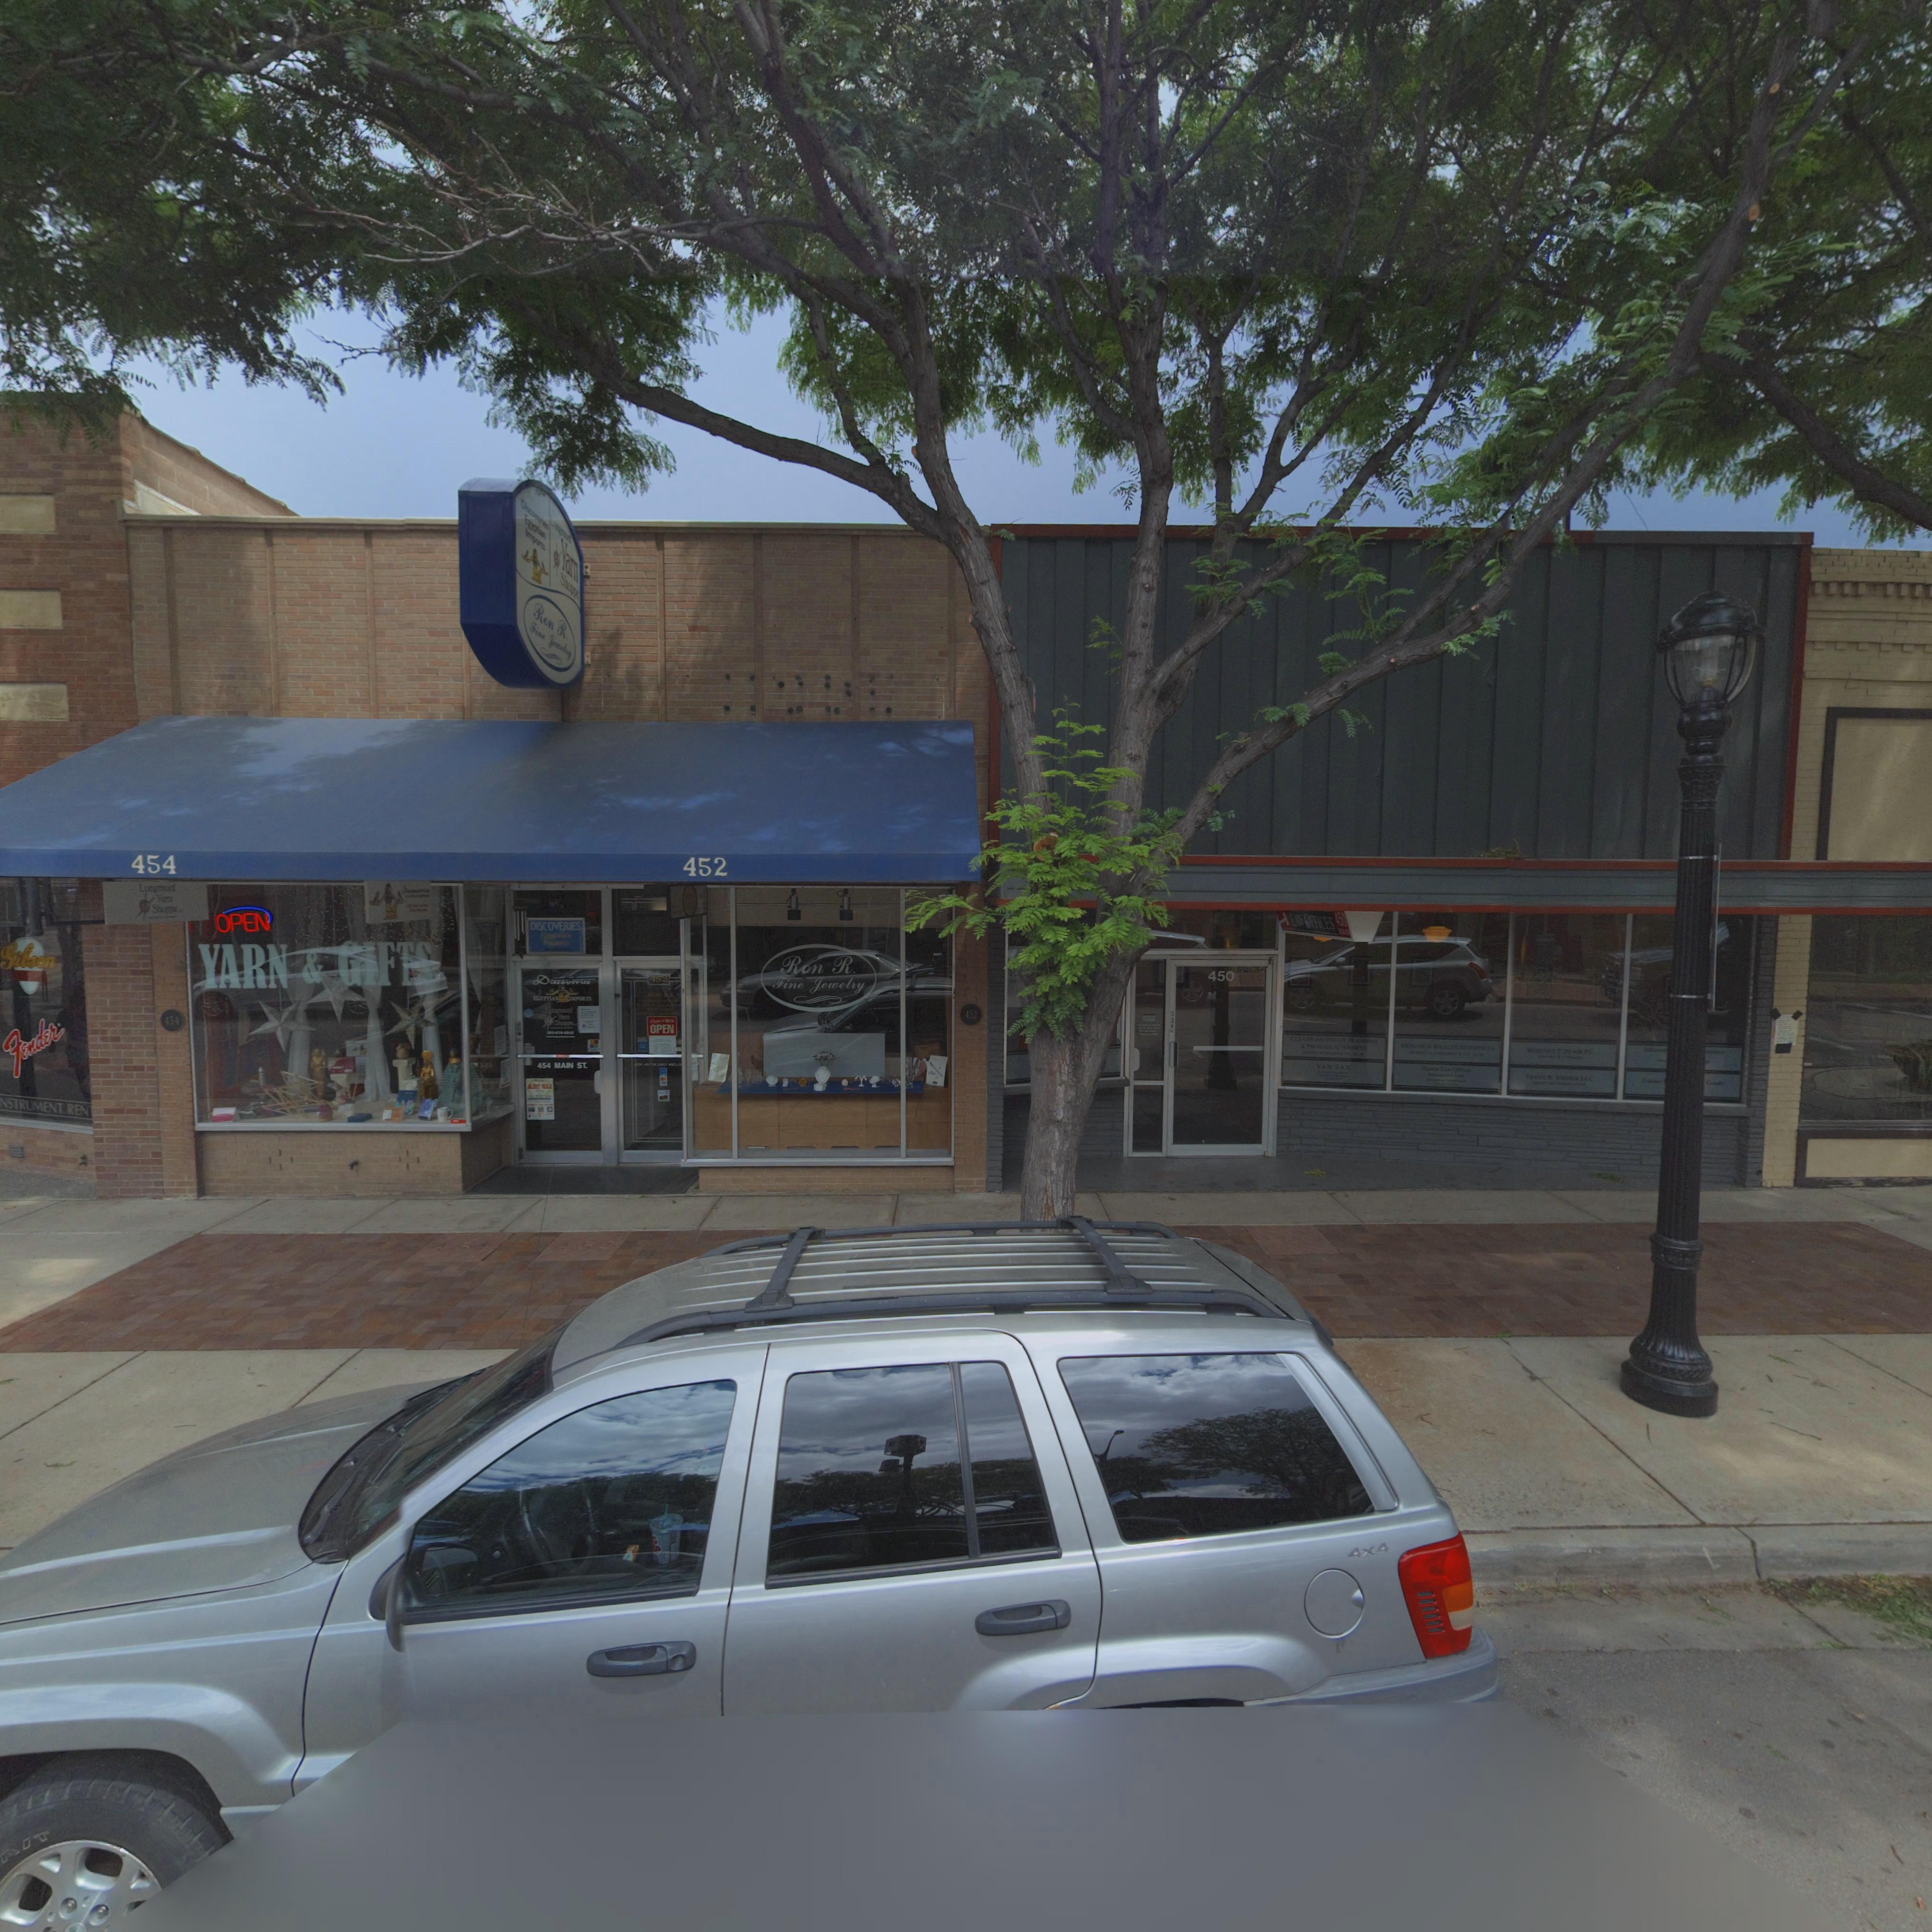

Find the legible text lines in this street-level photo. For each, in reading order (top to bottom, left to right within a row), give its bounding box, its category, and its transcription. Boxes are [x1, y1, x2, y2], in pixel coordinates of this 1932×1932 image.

[520, 497, 549, 531] BusinessName: D**********
[524, 513, 546, 541] BusinessName: E*******
[524, 526, 546, 551] BusinessName: Imports
[561, 537, 579, 583] BusinessName: Yarn
[559, 571, 579, 600] BusinessName: Shoppe
[533, 602, 568, 641] BusinessName: Ron R.
[529, 620, 572, 661] BusinessName: Fine Jewelry
[130, 854, 177, 875] StreetNumber: 454
[682, 856, 728, 877] StreetNumber: 452
[139, 882, 176, 894] BusinessName: Lon**o**
[155, 894, 173, 903] BusinessName: Y***
[151, 904, 178, 915] BusinessName: Shoppe
[1334, 912, 1348, 927] StreetNumber: 450
[530, 921, 581, 931] BusinessName: DISCOVERIES
[540, 931, 572, 939] BusinessName: ***ptian
[542, 939, 570, 948] BusinessName: Im**rts
[780, 954, 856, 975] BusinessName: Ron R.
[532, 974, 591, 985] BusinessName: Discoveries
[648, 975, 668, 983] StreetNumber: 452
[1207, 970, 1235, 982] StreetNumber: 450
[772, 976, 867, 995] BusinessName: Fine Jewelry
[533, 995, 591, 1001] BusinessName: EGYPTIAN IMPORTS
[165, 1015, 179, 1025] StreetNumber: 45*
[545, 1006, 573, 1014] BusinessName: Lon**ont
[557, 1013, 570, 1020] BusinessName: Y***
[554, 1019, 574, 1026] BusinessName: Shopp*
[965, 1010, 977, 1019] StreetNumber: 452
[1289, 1035, 1378, 1044] BusinessName: CLEARWIND ESTATE PLANNING
[1300, 1043, 1367, 1051] BusinessName: & PRO*ATE ATTORNEYS
[1400, 1042, 1495, 1052] BusinessName: MONARCH WEALTH ATTORNEYS
[1526, 1046, 1594, 1055] BusinessName: W***** P B**** PC
[537, 1062, 551, 1069] StreetNumber: 454
[554, 1062, 588, 1069] StreetName: MAIN ST.
[1316, 1063, 1351, 1071] BusinessName: VAN SAX
[1421, 1065, 1471, 1072] BusinessName: R**** L** O******
[1524, 1073, 1594, 1082] BusinessName: *AN*A P ****** LLC
[1642, 1077, 1725, 1086] BusinessName: ***** ***** ***** G****